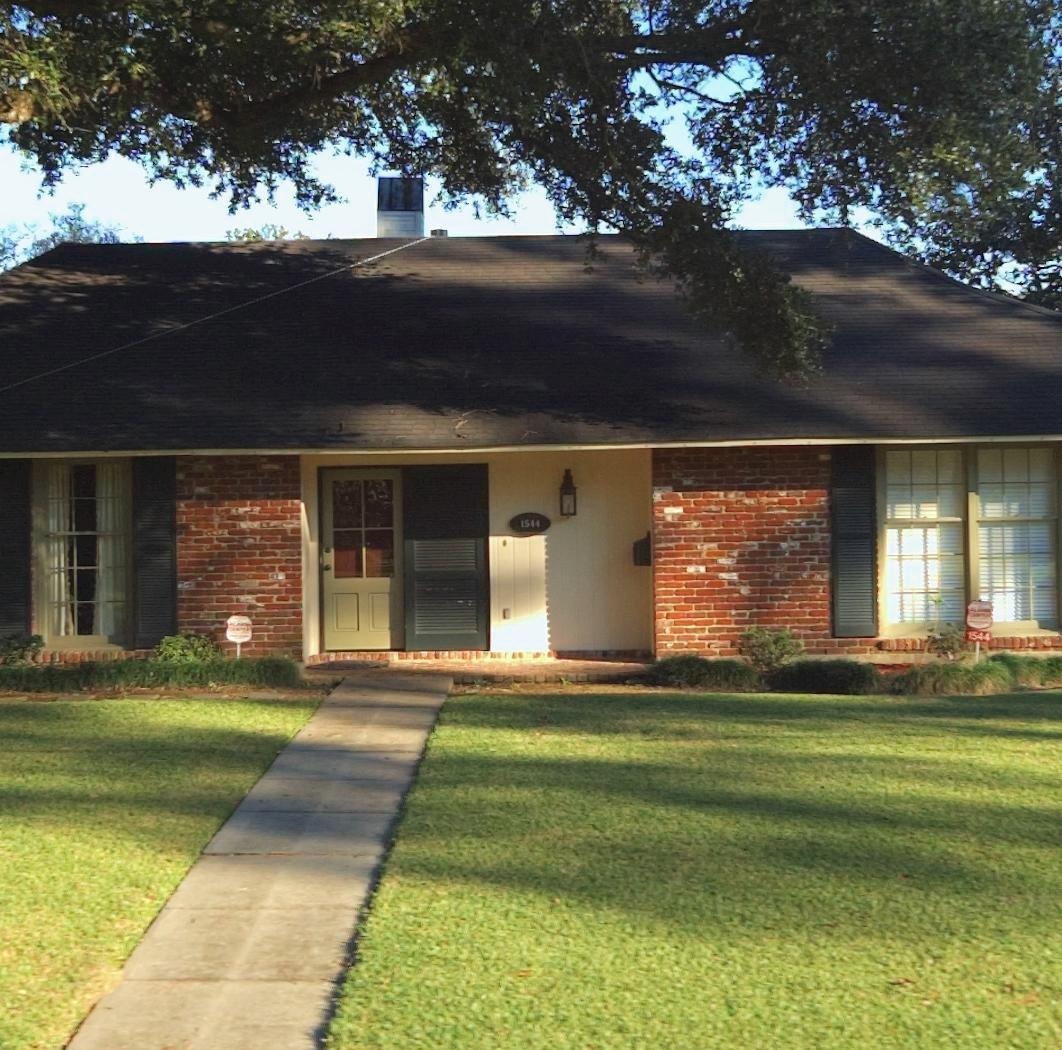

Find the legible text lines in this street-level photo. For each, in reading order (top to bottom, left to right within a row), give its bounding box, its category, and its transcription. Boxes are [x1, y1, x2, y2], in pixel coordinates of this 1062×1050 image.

[518, 518, 542, 530] StreetNumber: 1544